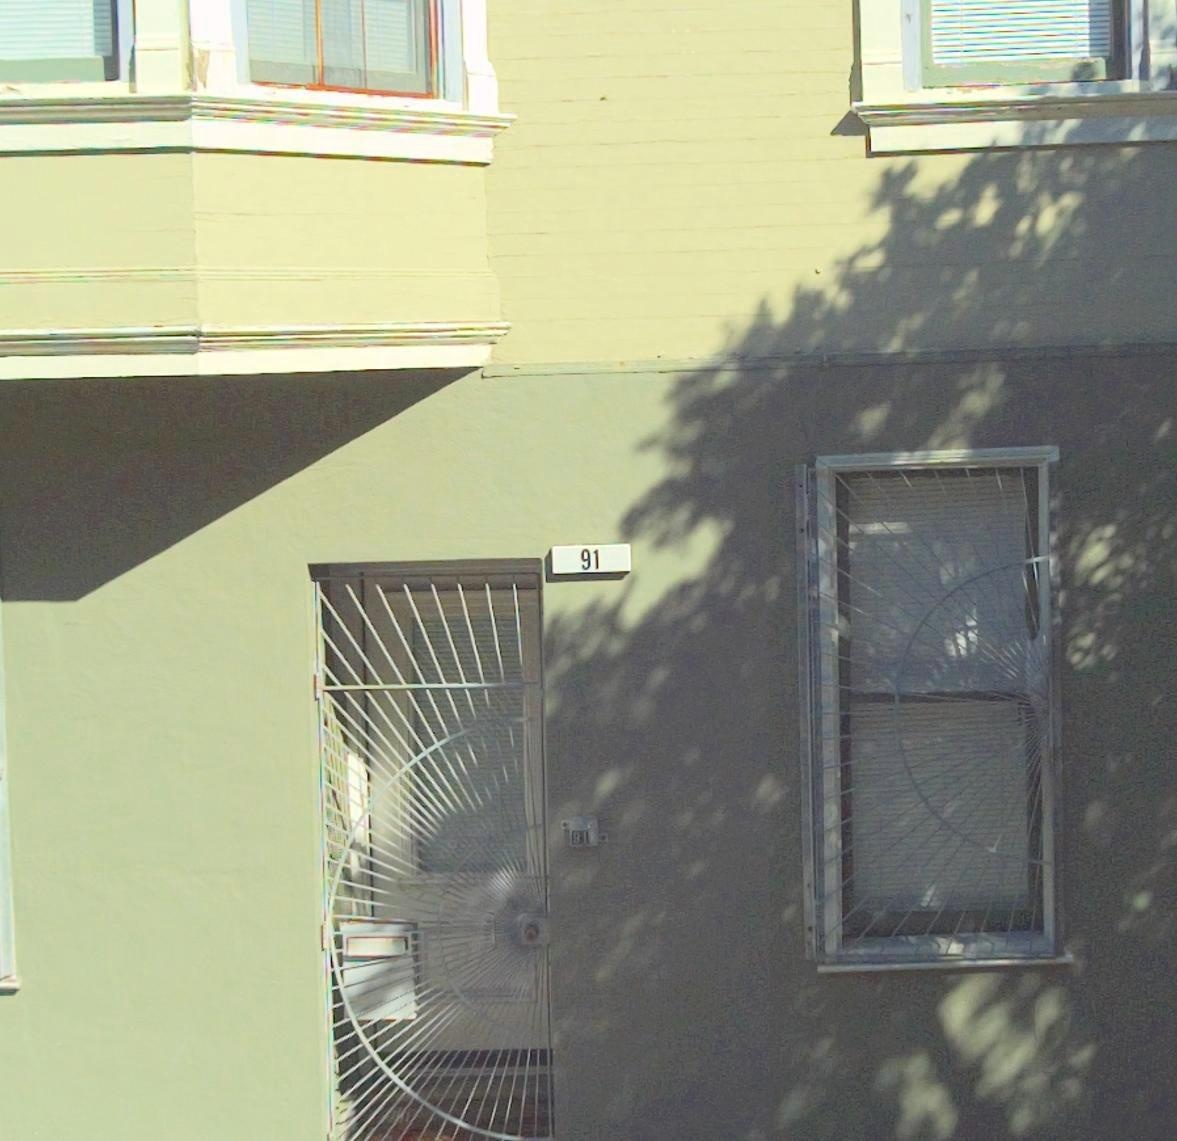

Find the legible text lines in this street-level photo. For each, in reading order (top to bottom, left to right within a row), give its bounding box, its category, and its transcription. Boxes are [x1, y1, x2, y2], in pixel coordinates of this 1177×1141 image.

[578, 547, 602, 572] StreetNumber: 91